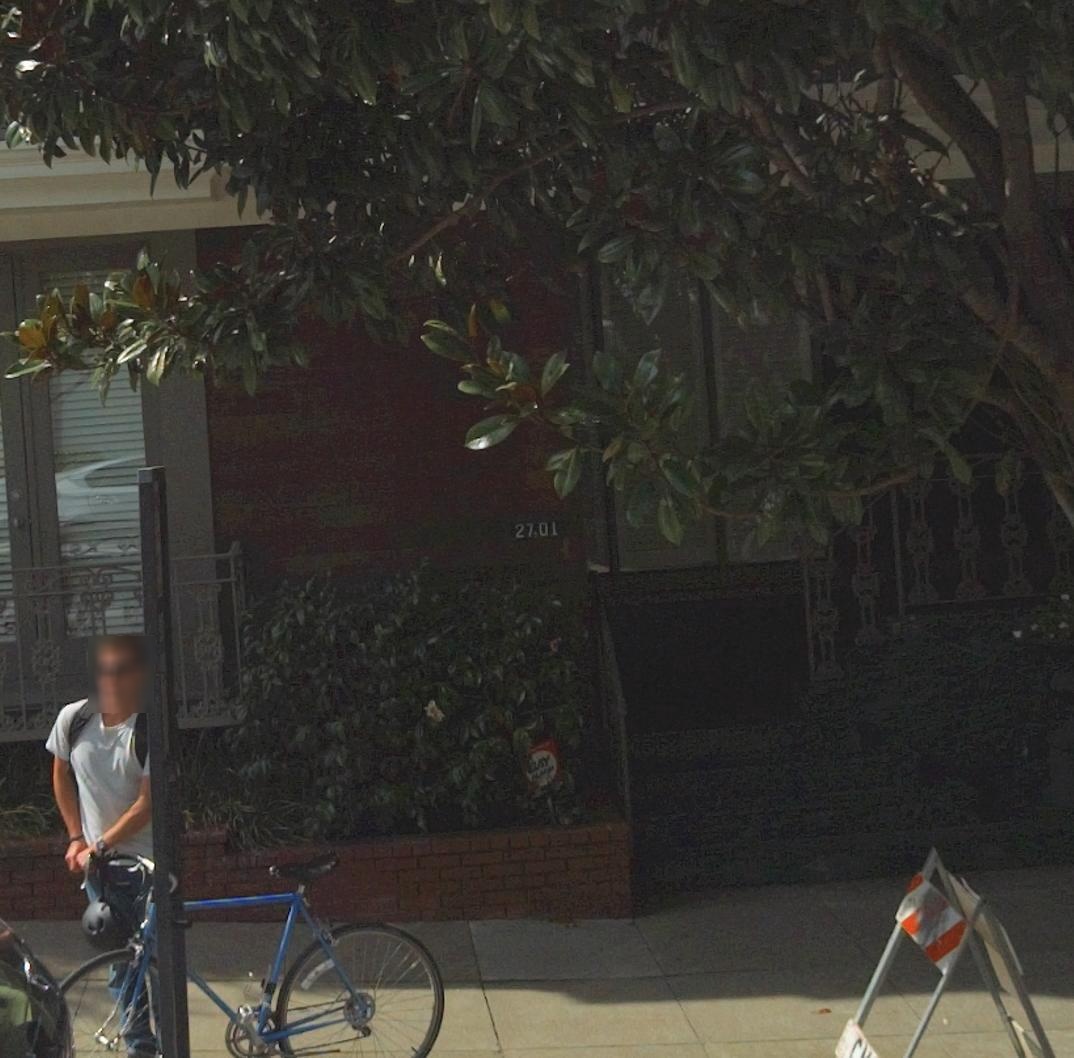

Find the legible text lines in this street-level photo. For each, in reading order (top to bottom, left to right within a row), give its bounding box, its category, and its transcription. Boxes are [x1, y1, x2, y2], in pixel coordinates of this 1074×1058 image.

[512, 518, 561, 542] StreetNumber: 27*01
[535, 752, 553, 773] None: AY